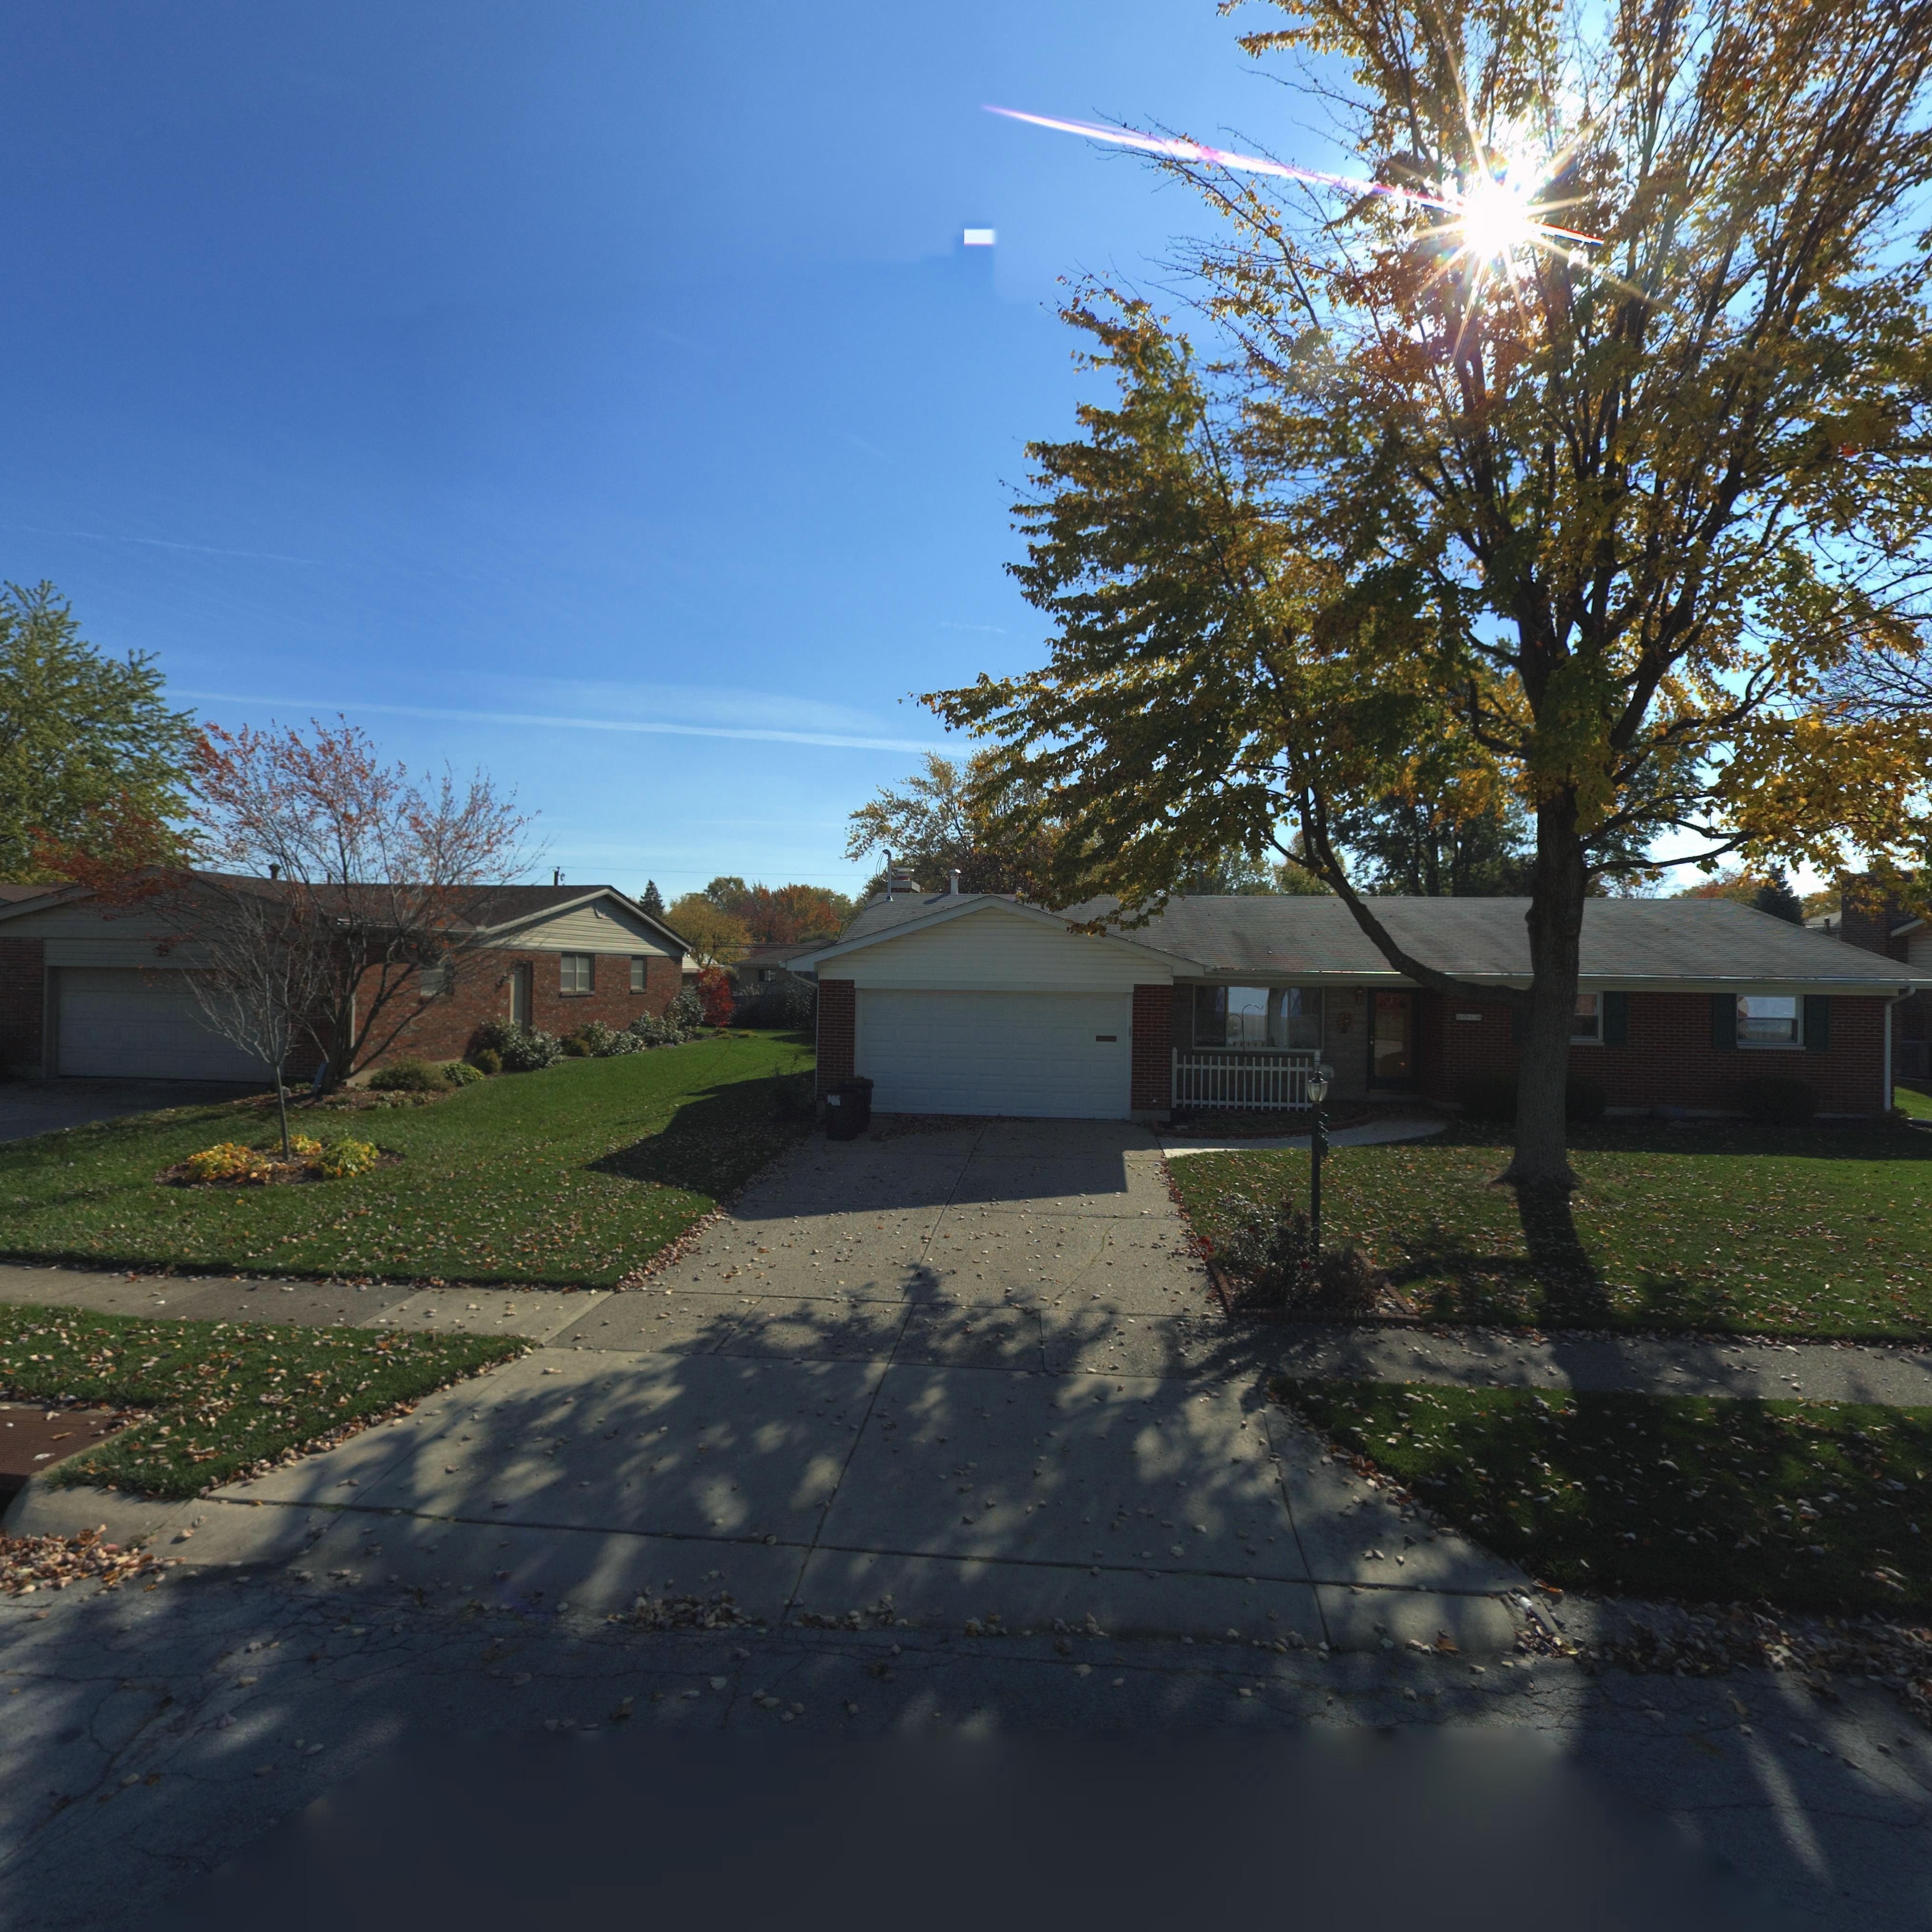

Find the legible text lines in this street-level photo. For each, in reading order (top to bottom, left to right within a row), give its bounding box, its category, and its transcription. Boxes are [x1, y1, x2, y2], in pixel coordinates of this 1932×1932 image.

[1457, 1014, 1480, 1020] StreetNumber: 101*